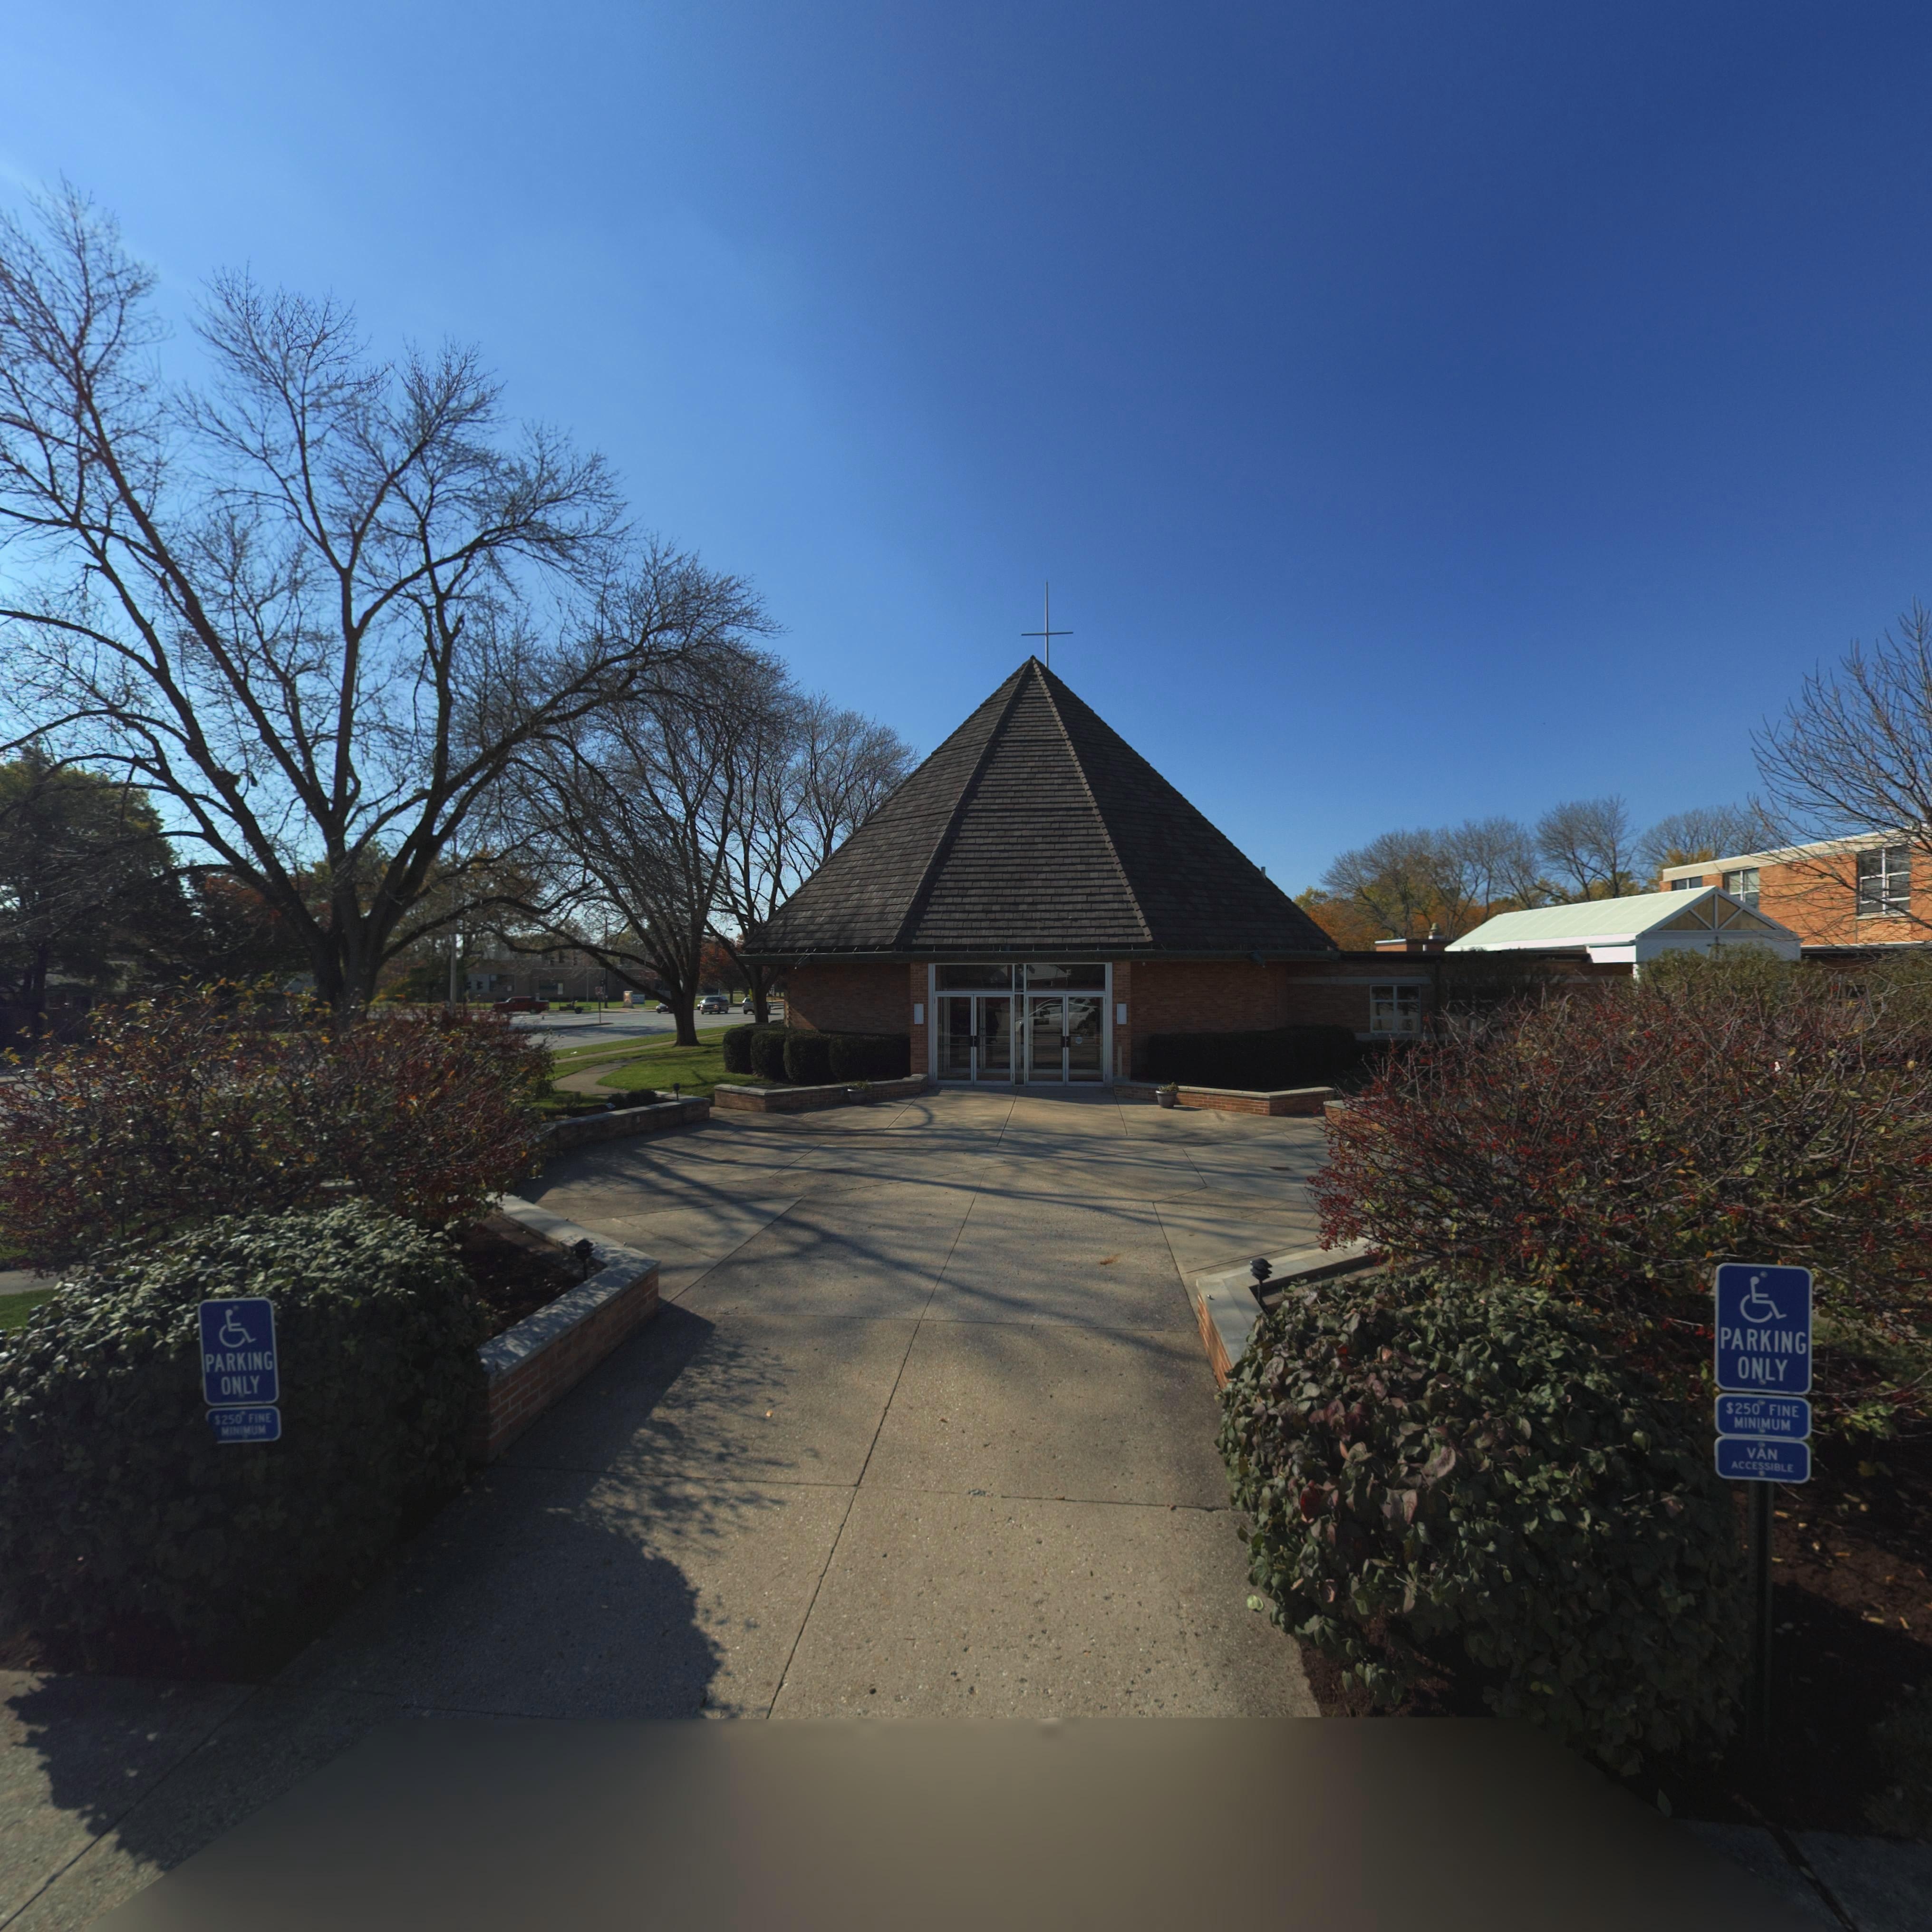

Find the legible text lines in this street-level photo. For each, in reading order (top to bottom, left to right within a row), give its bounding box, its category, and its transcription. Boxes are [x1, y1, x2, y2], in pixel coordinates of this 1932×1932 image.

[1719, 1326, 1807, 1355] None: PARKING
[204, 1351, 273, 1373] None: PARKING
[1737, 1355, 1789, 1382] None: ONLY
[220, 1375, 261, 1396] None: ONLY
[1725, 1401, 1799, 1418] None: $250 FINE
[221, 1424, 267, 1437] None: MINIMUM
[221, 1412, 272, 1425] None: 250 FINE
[1734, 1416, 1791, 1431] None: MINIMUM
[1746, 1446, 1778, 1461] None: VAN
[1729, 1459, 1795, 1473] None: ACCESSIBLE